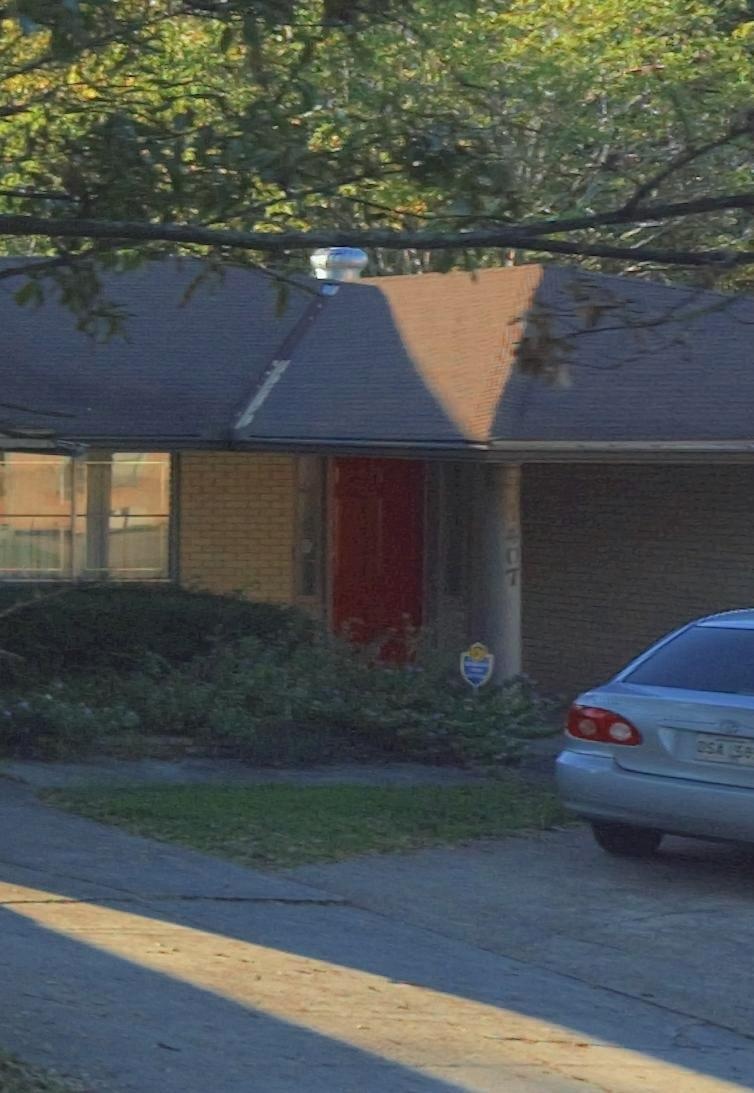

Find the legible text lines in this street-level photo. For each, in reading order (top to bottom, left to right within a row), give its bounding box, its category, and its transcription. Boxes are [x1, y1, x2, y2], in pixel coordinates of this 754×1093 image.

[501, 501, 522, 589] StreetNumber: 1407